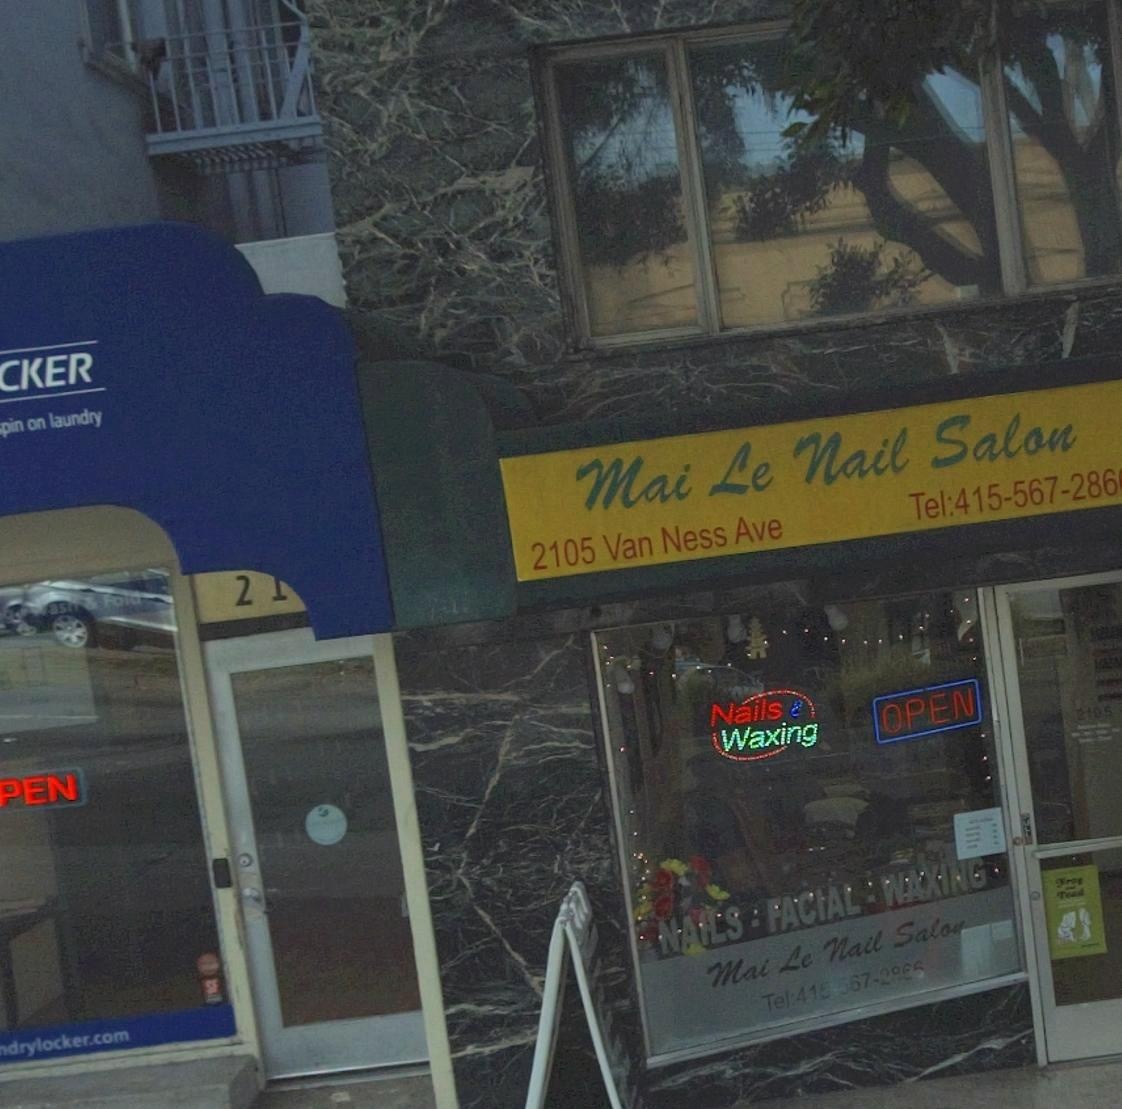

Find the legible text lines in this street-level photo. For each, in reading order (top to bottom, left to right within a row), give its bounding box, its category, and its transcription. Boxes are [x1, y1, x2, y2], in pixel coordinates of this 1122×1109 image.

[18, 349, 97, 392] BusinessName: KER
[0, 405, 105, 441] None: pin on laundry'
[580, 407, 1081, 517] BusinessName: Mai Le Nail Salon
[903, 465, 1121, 524] None: Tel;415-567-286
[528, 532, 599, 574] StreetNumber: 2105
[598, 513, 786, 565] StreetName: Van Ness Ave
[46, 587, 145, 618] None: as** & Fold
[231, 572, 257, 609] StreetNumber: 2
[707, 695, 786, 730] None: Nails
[879, 685, 976, 736] None: OPEN
[1073, 703, 1116, 723] StreetNumber: 2105
[718, 719, 822, 755] None: Waxing
[0, 771, 81, 810] None: PEN
[654, 851, 991, 958] None: NAILS * FACAIL * WAXING
[708, 913, 968, 991] BusinessName: Mai Le Nail Salon
[756, 956, 929, 1017] None: Tel:415-567-2*6*
[6, 1027, 133, 1060] None: drylocker.com